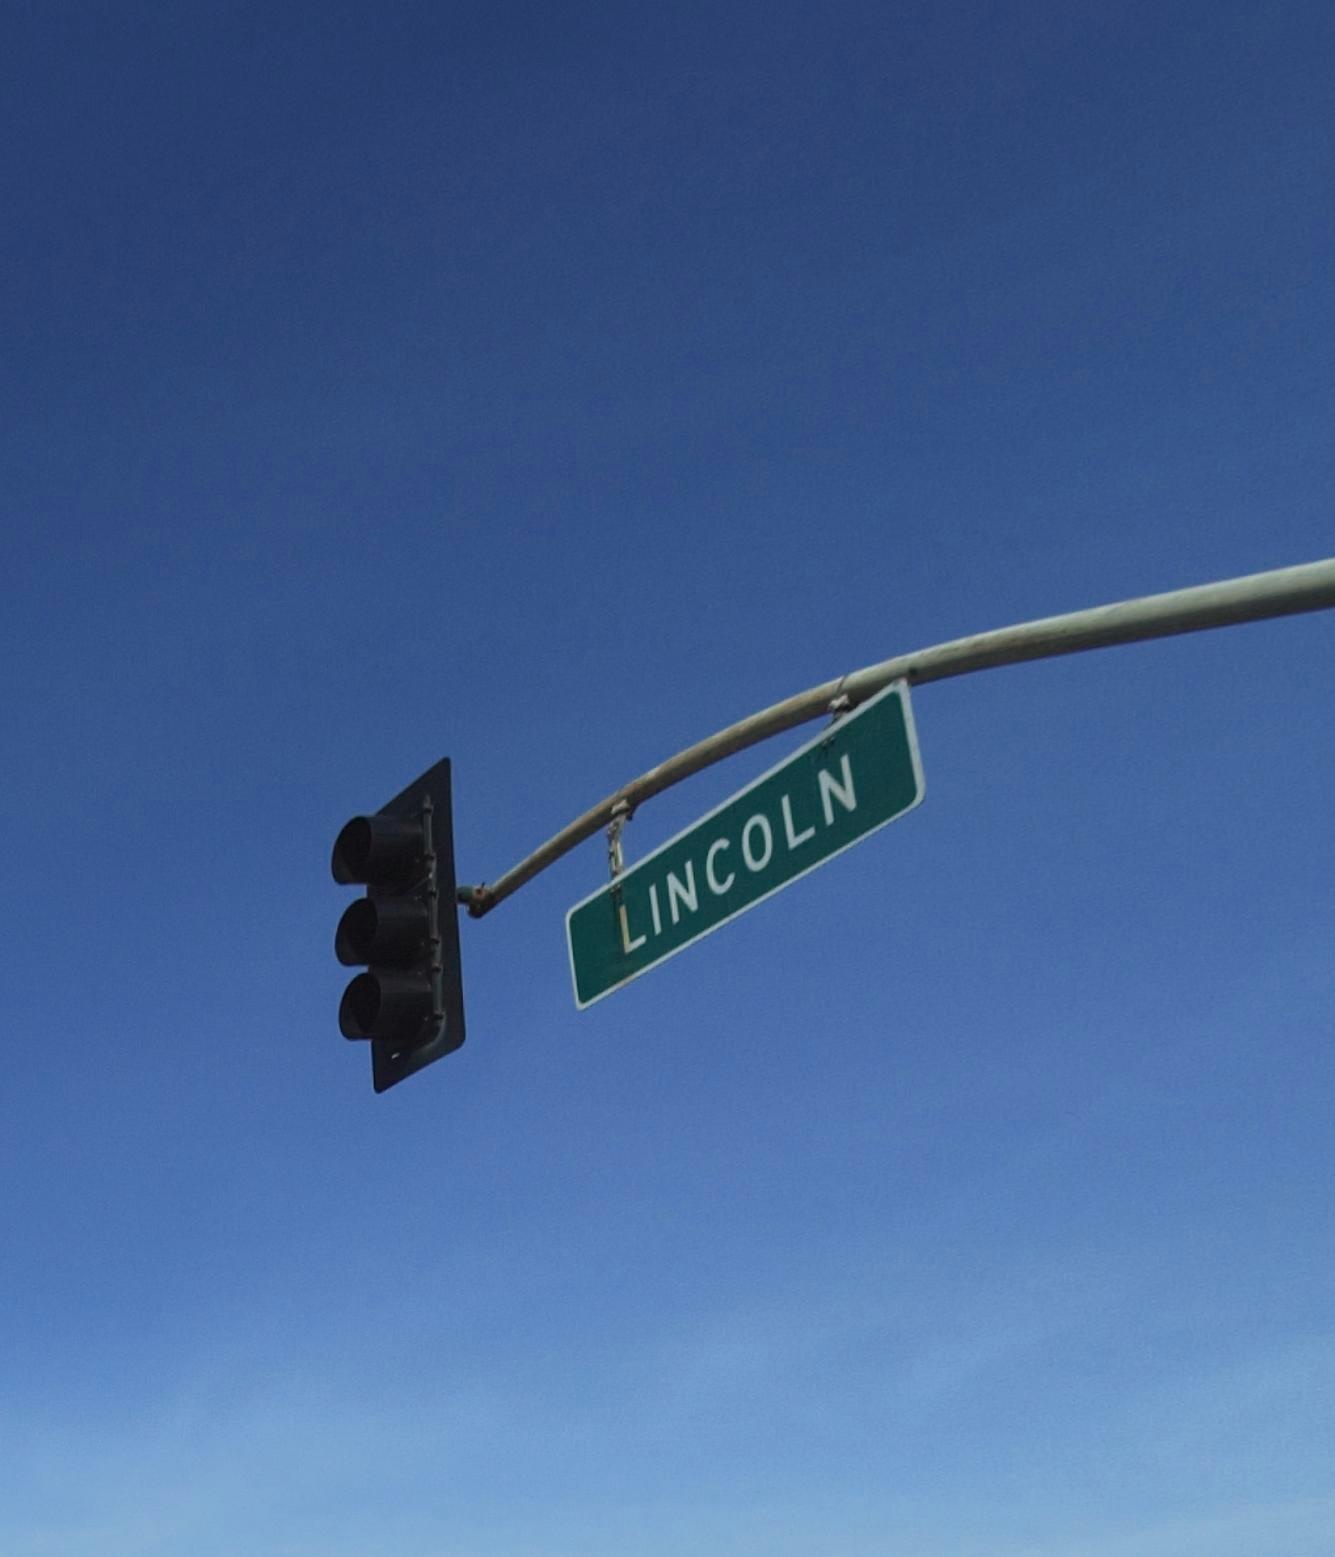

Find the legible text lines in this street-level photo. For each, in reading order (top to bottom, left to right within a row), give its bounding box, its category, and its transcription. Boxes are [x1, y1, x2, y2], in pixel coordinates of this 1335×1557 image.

[614, 747, 860, 959] StreetName: LINCOLN